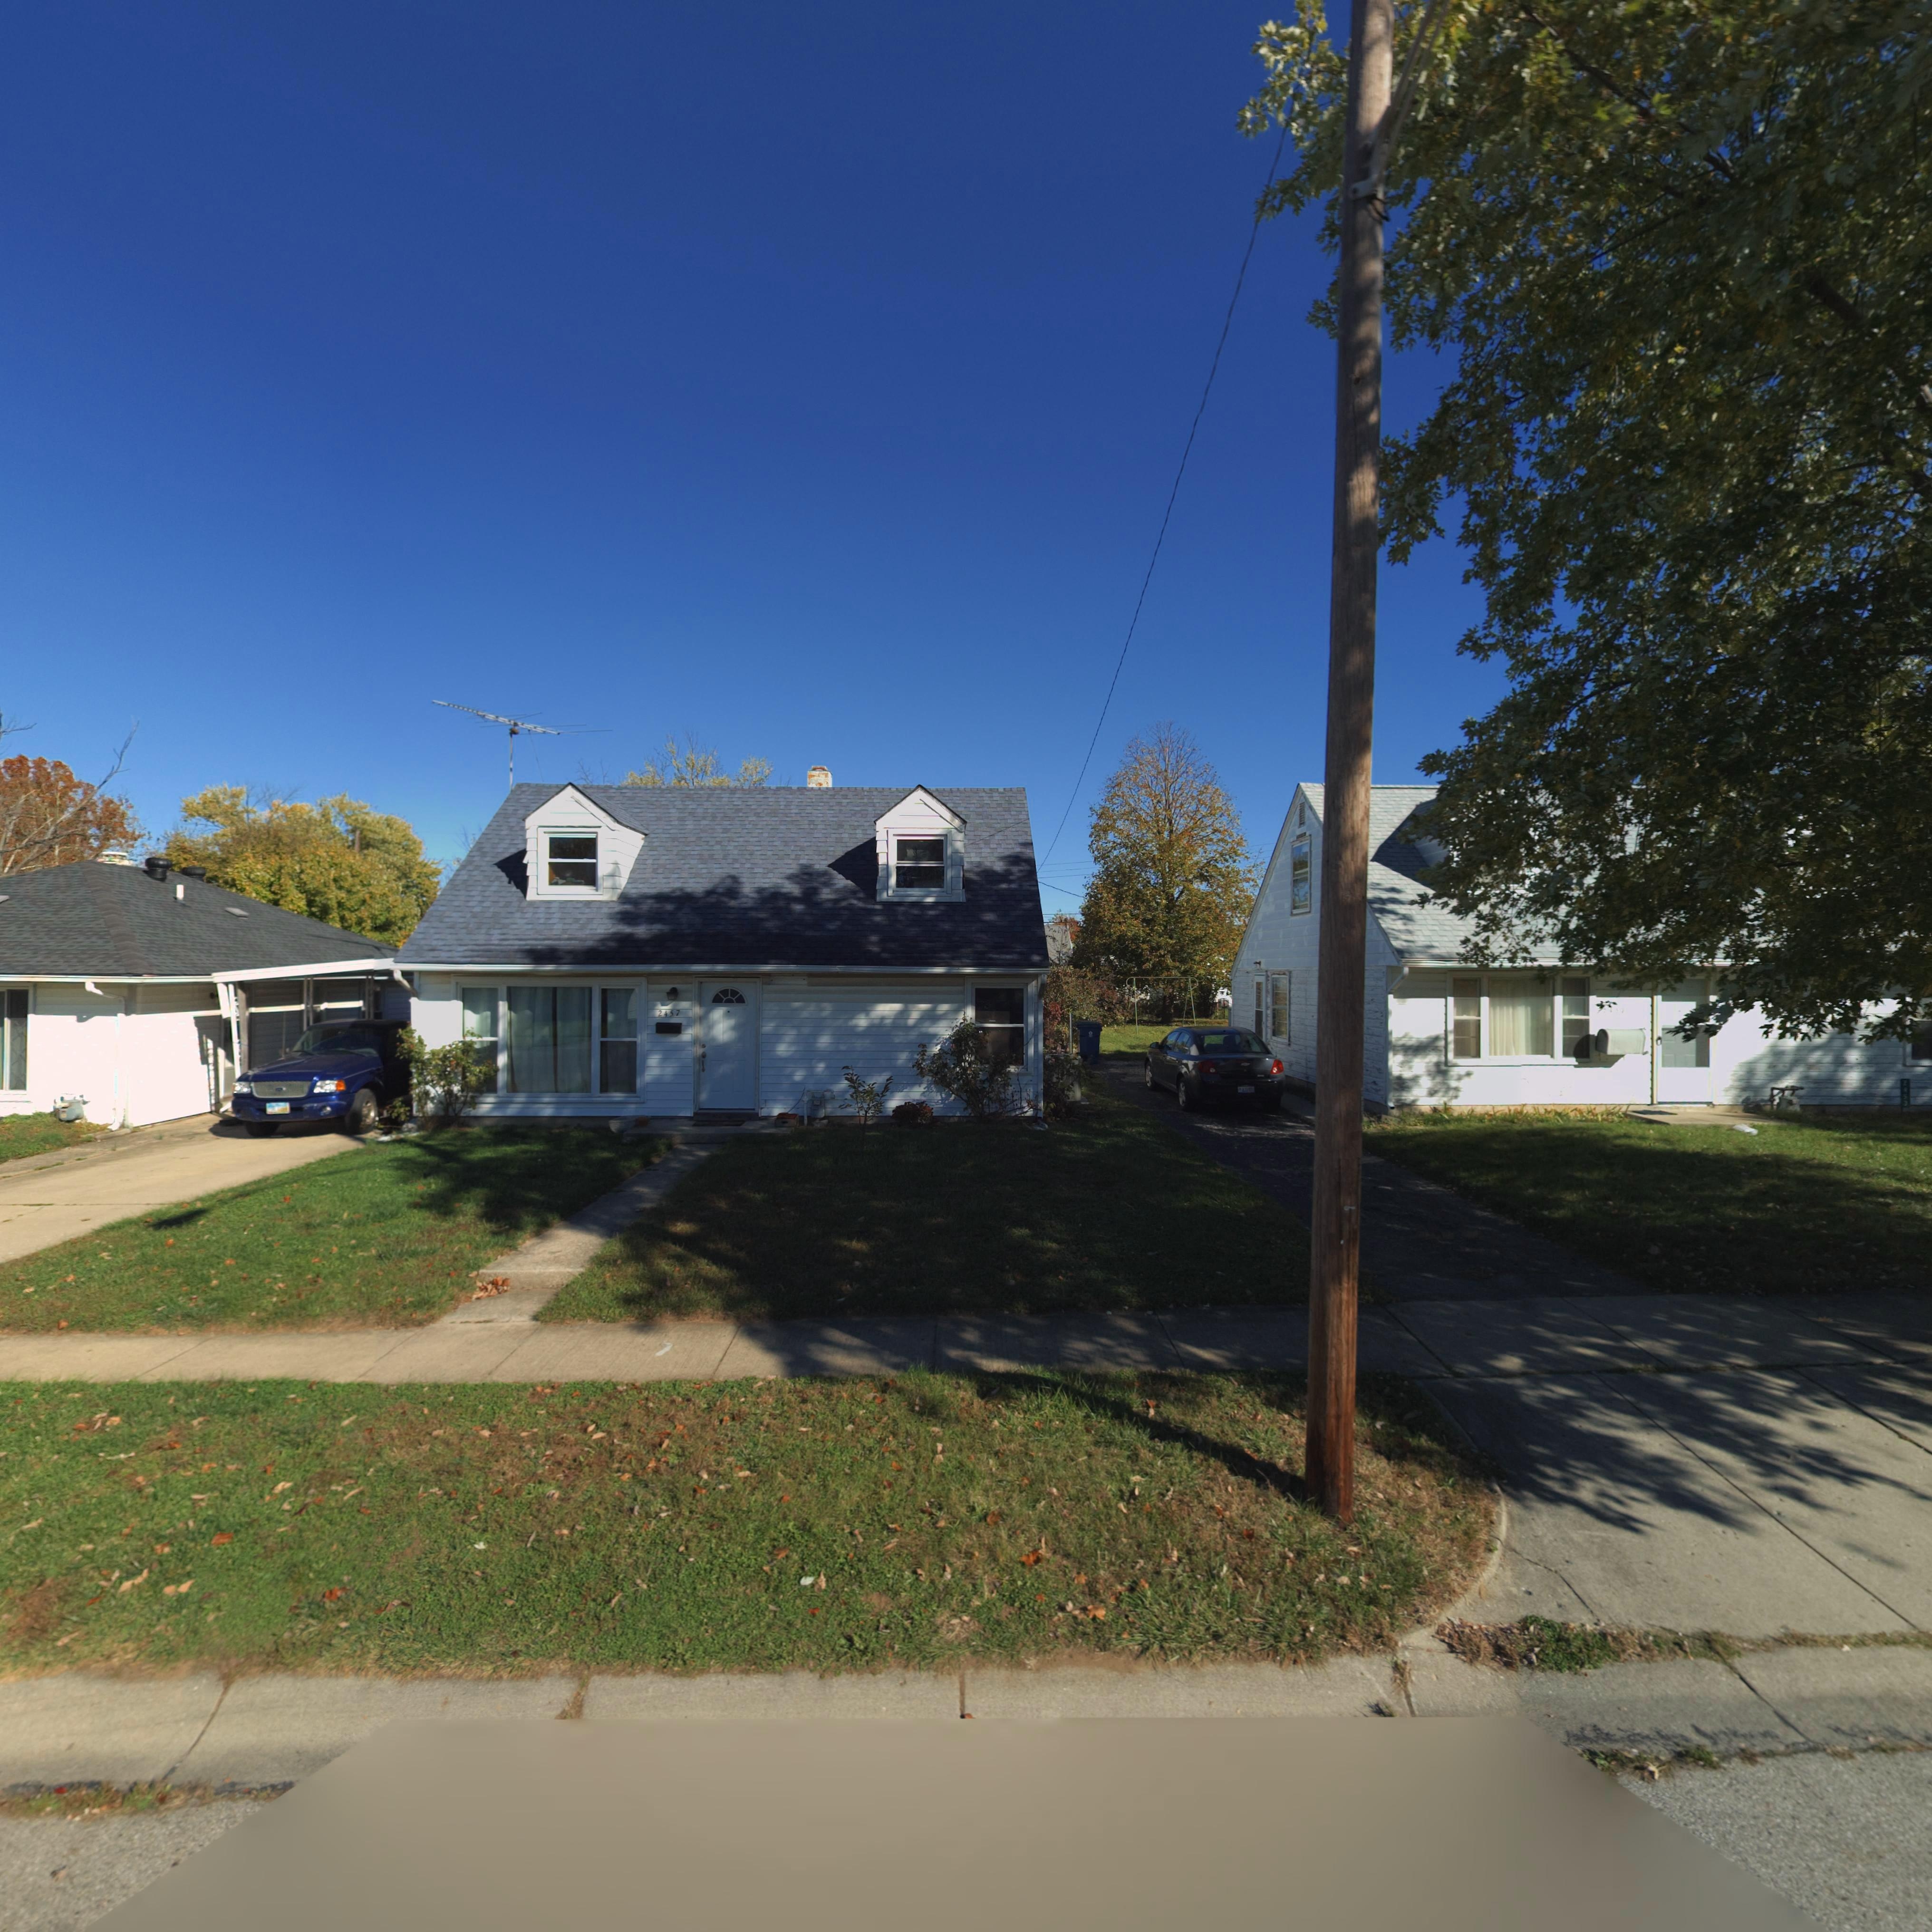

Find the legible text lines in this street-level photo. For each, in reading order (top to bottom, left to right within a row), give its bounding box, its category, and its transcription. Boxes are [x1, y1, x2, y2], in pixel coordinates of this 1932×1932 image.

[657, 1009, 681, 1018] StreetNumber: 2457
[1902, 1079, 1908, 1107] StreetNumber: 2453